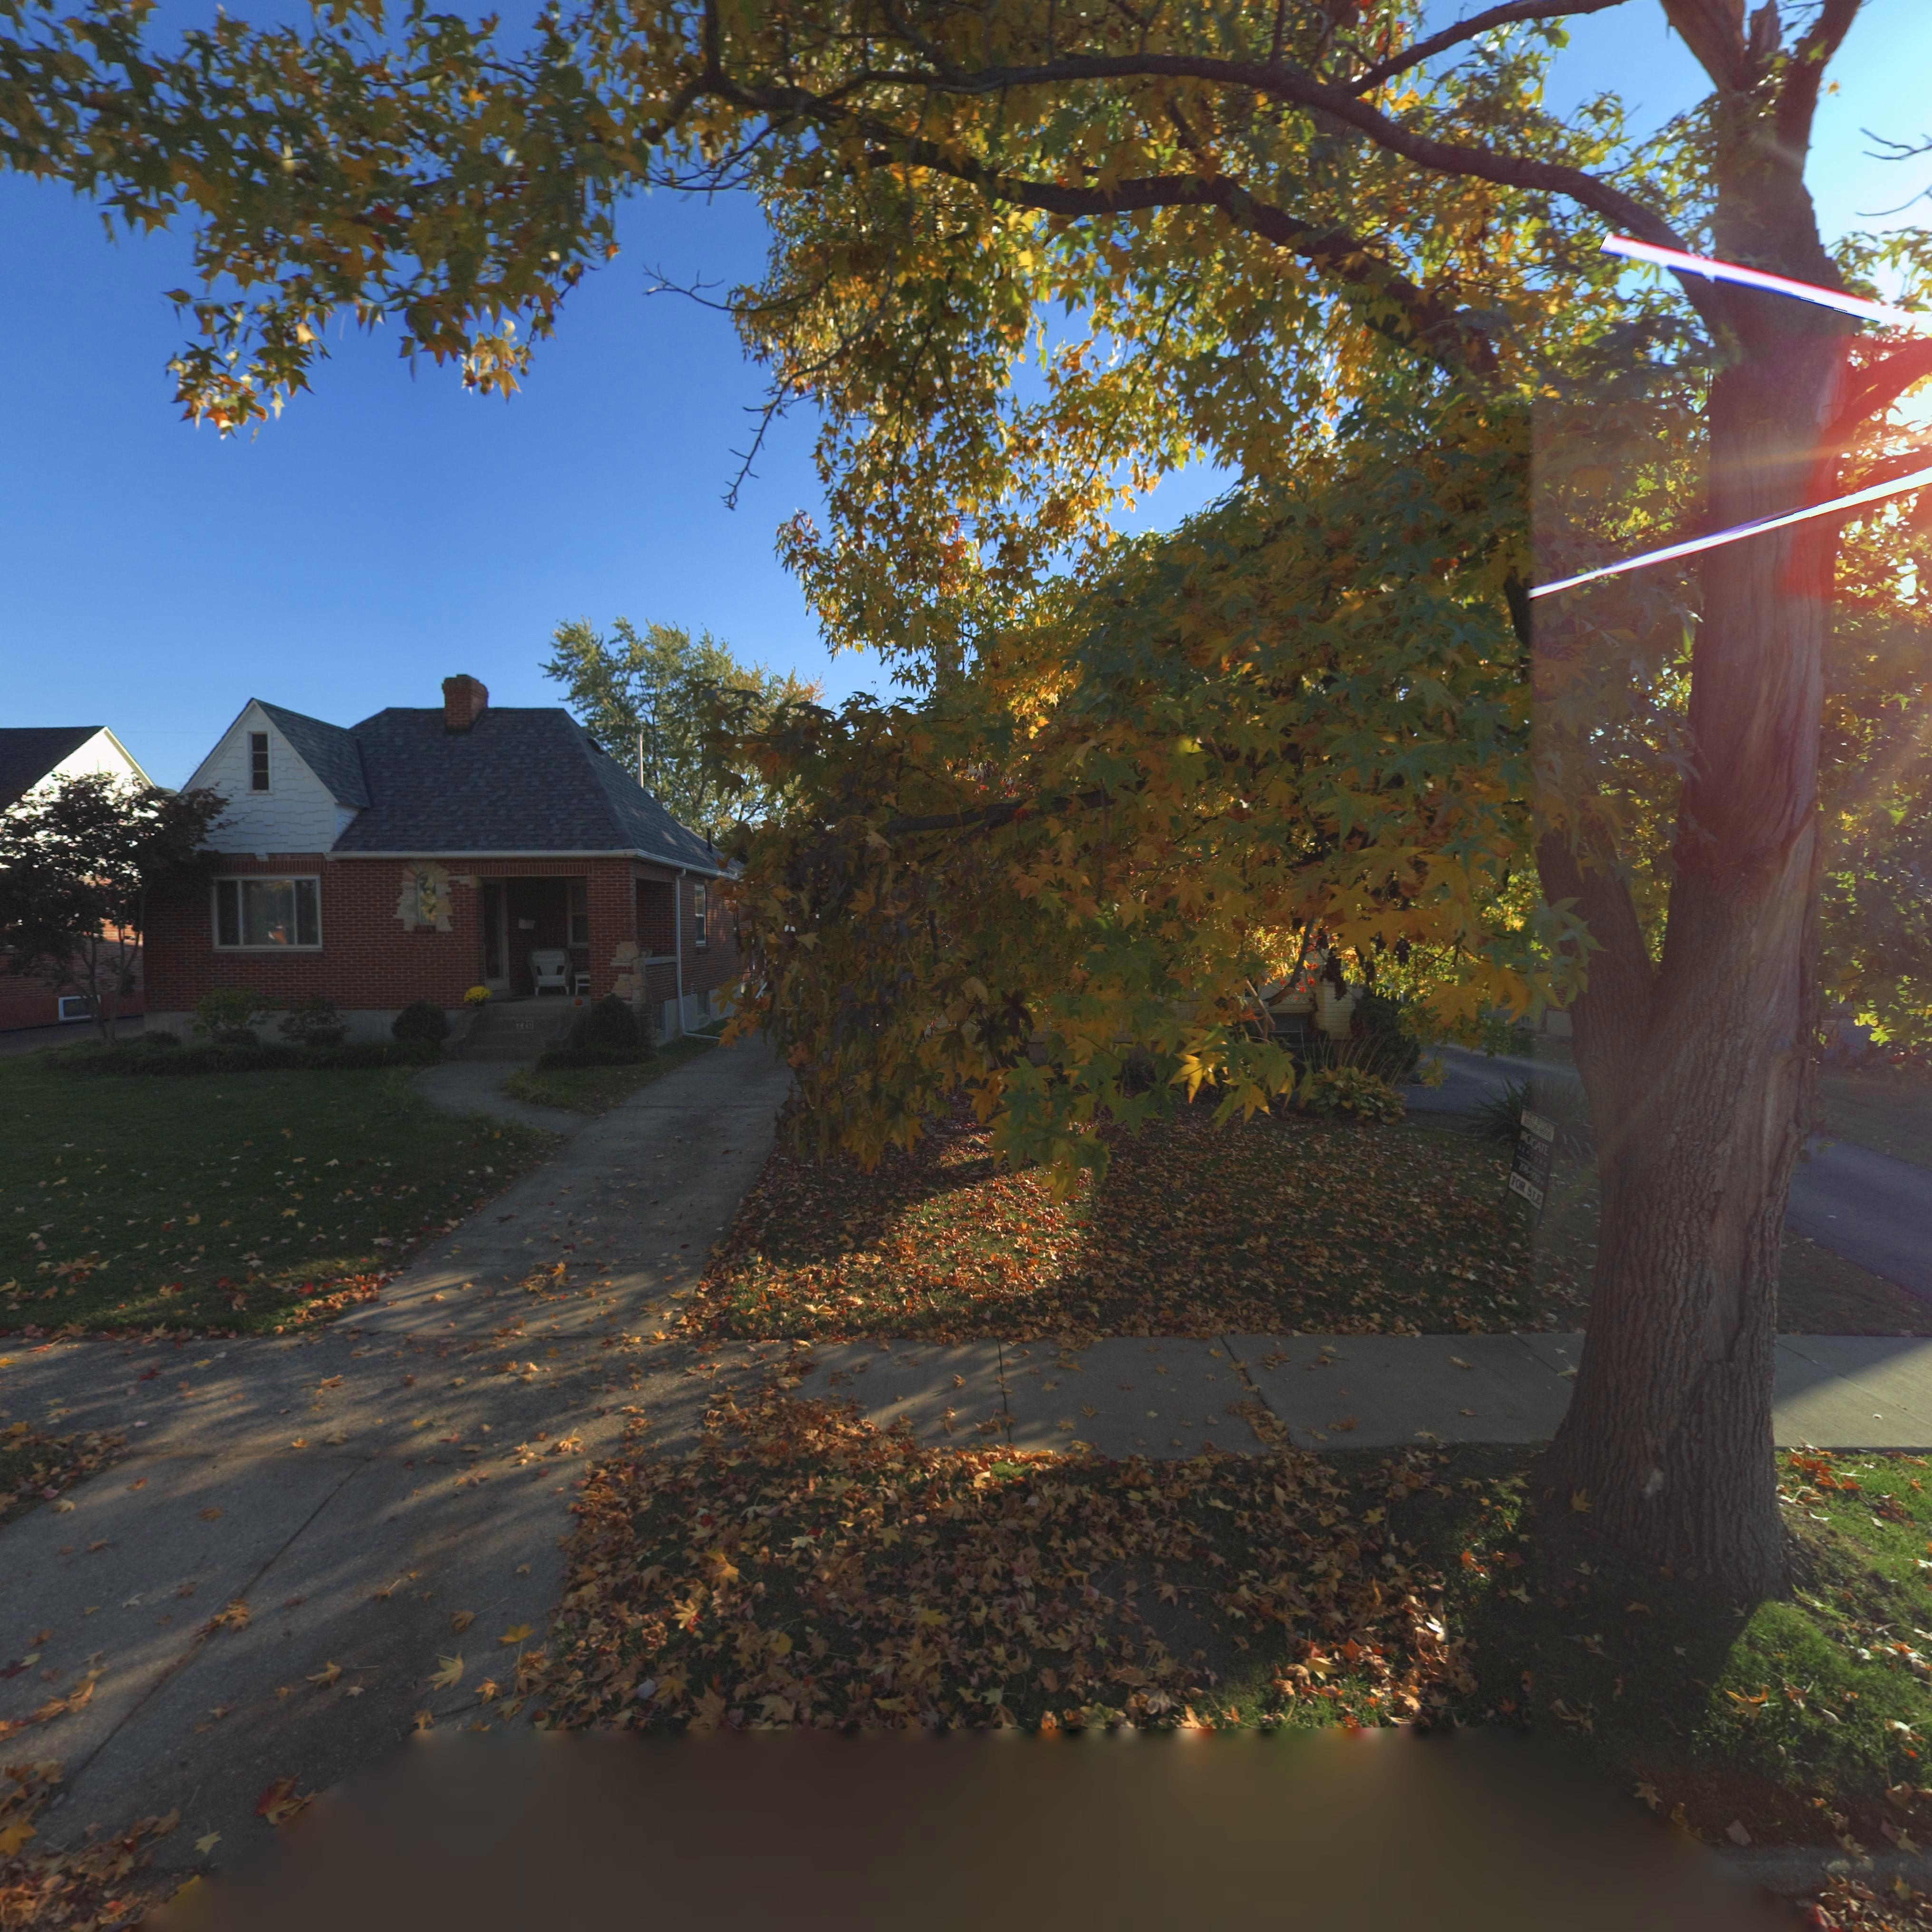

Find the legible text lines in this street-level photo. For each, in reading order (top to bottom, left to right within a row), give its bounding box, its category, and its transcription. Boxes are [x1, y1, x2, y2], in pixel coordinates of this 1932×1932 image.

[516, 1021, 532, 1029] StreetNumber: 220